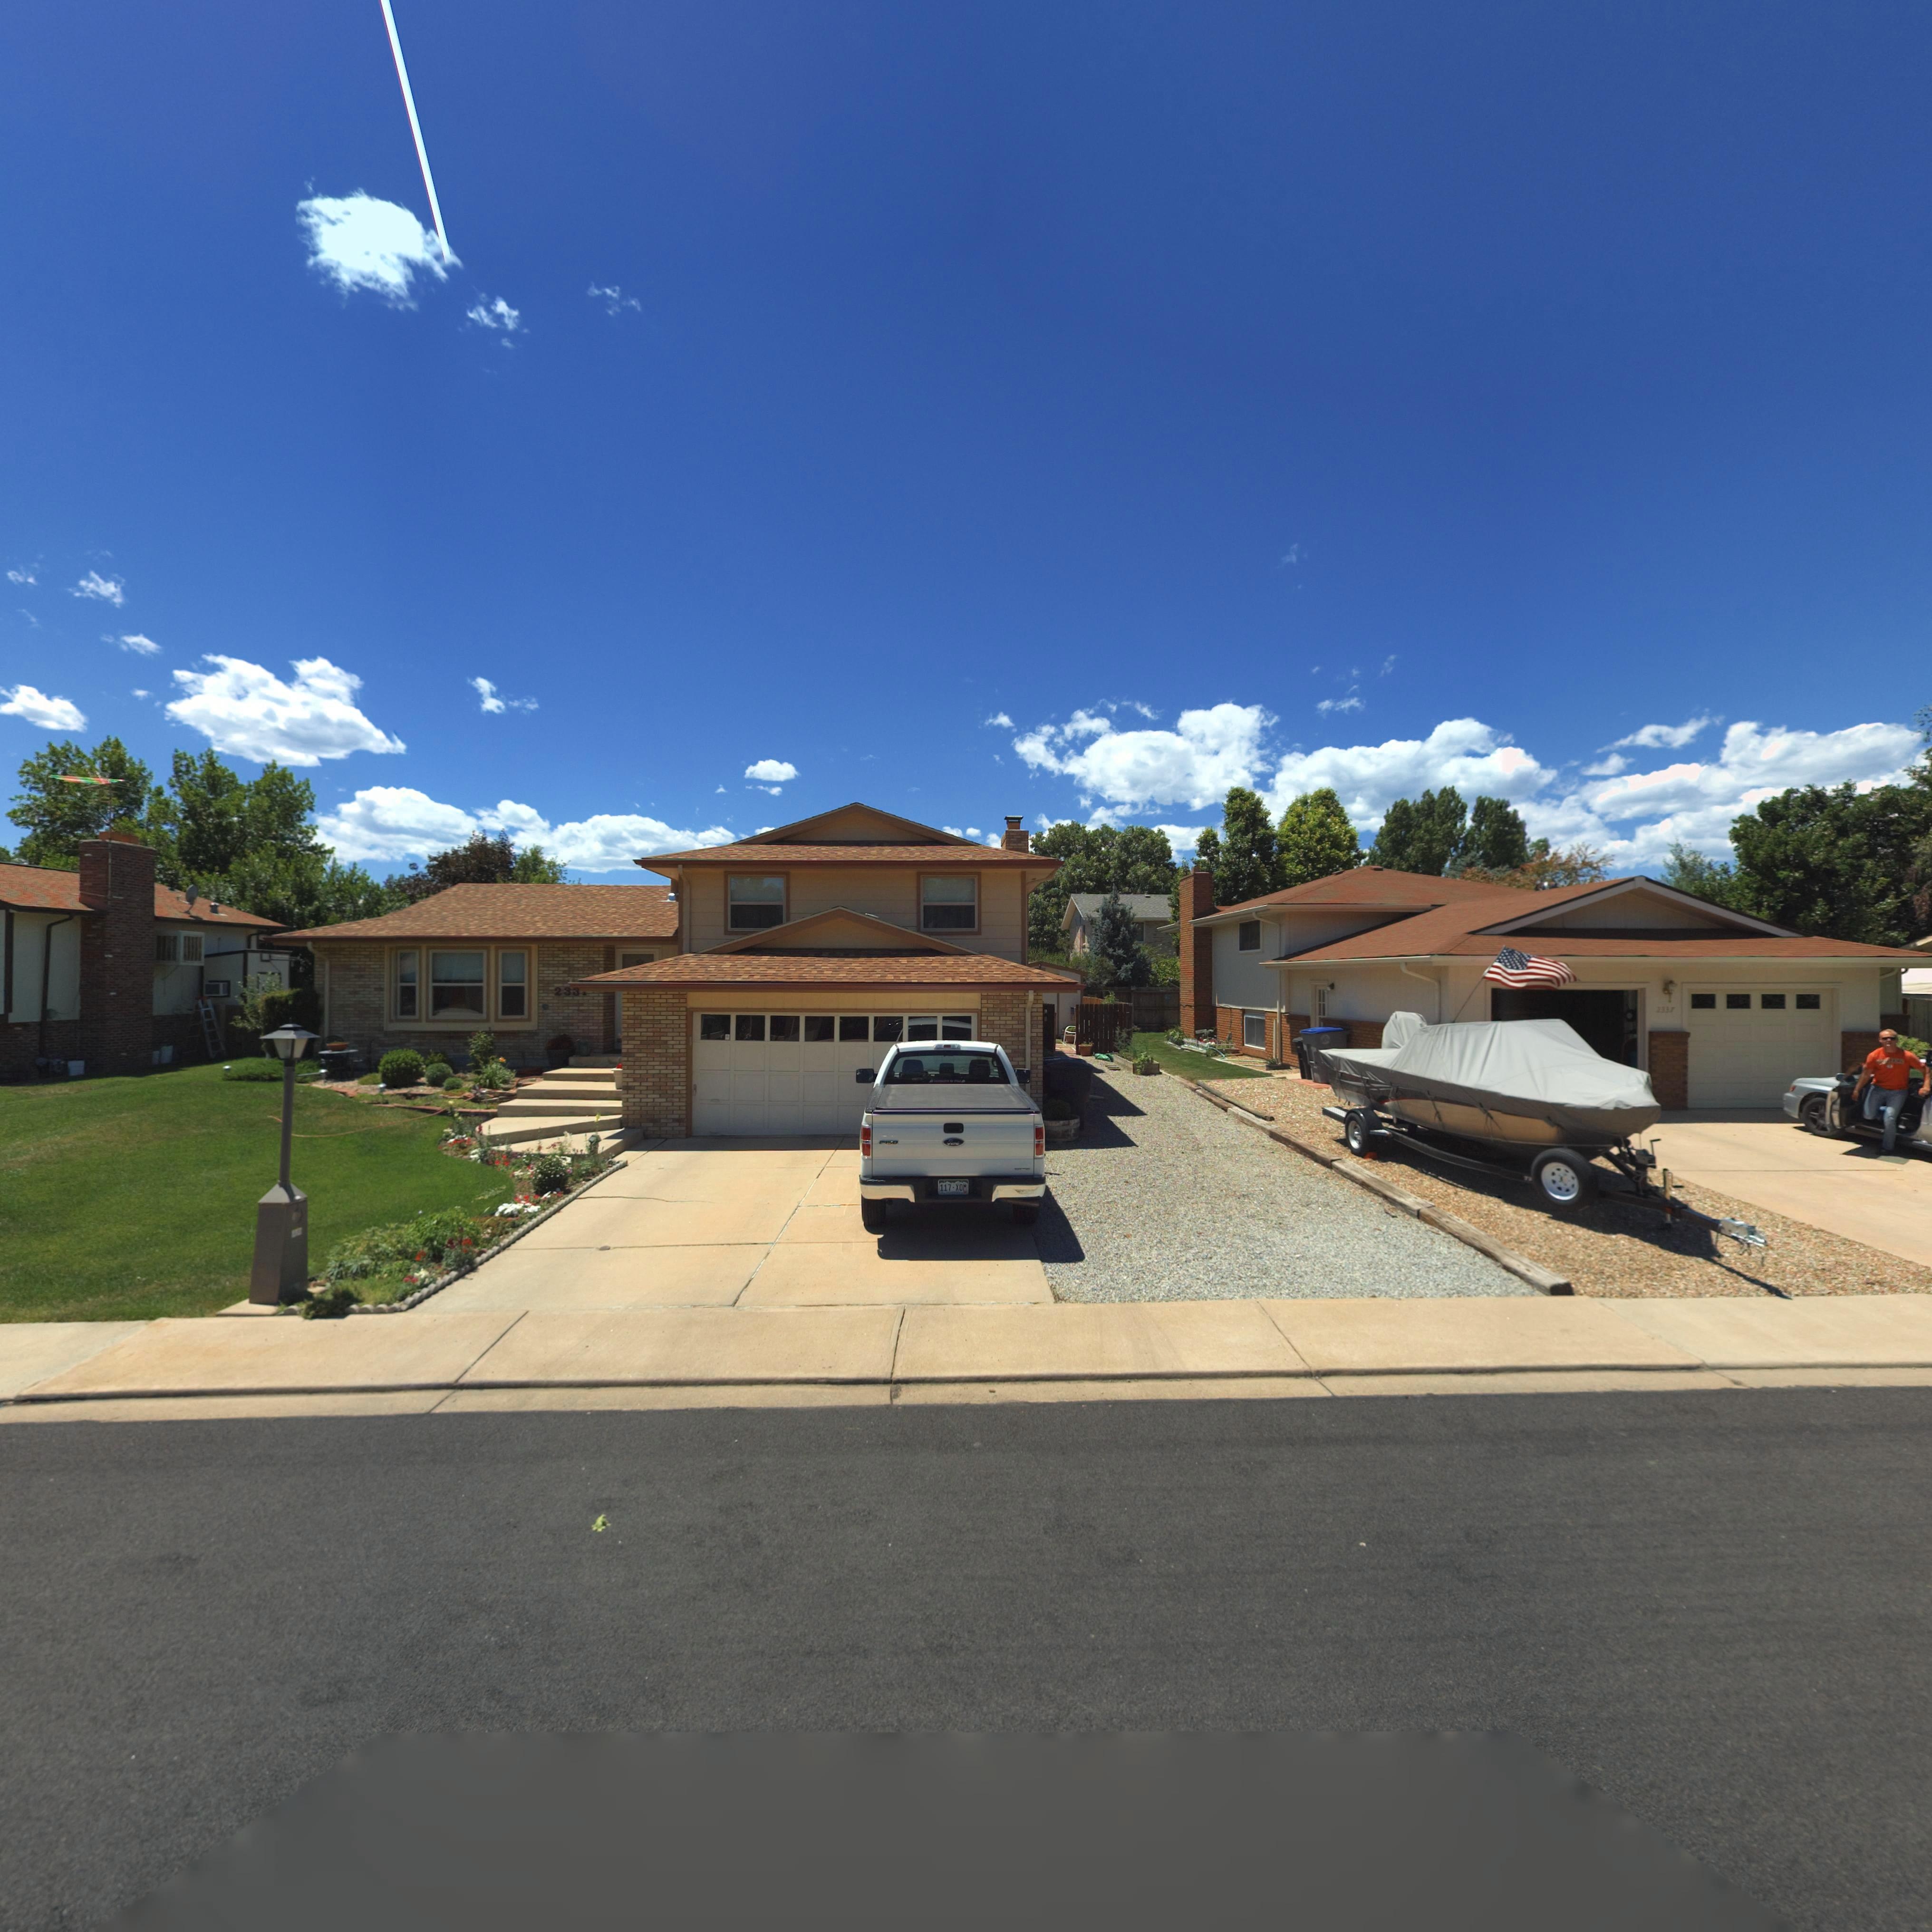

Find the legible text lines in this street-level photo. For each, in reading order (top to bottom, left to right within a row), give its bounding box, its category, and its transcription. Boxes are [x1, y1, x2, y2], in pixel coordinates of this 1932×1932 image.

[554, 986, 580, 996] StreetNumber: 233
[1655, 1005, 1676, 1014] StreetNumber: 2337